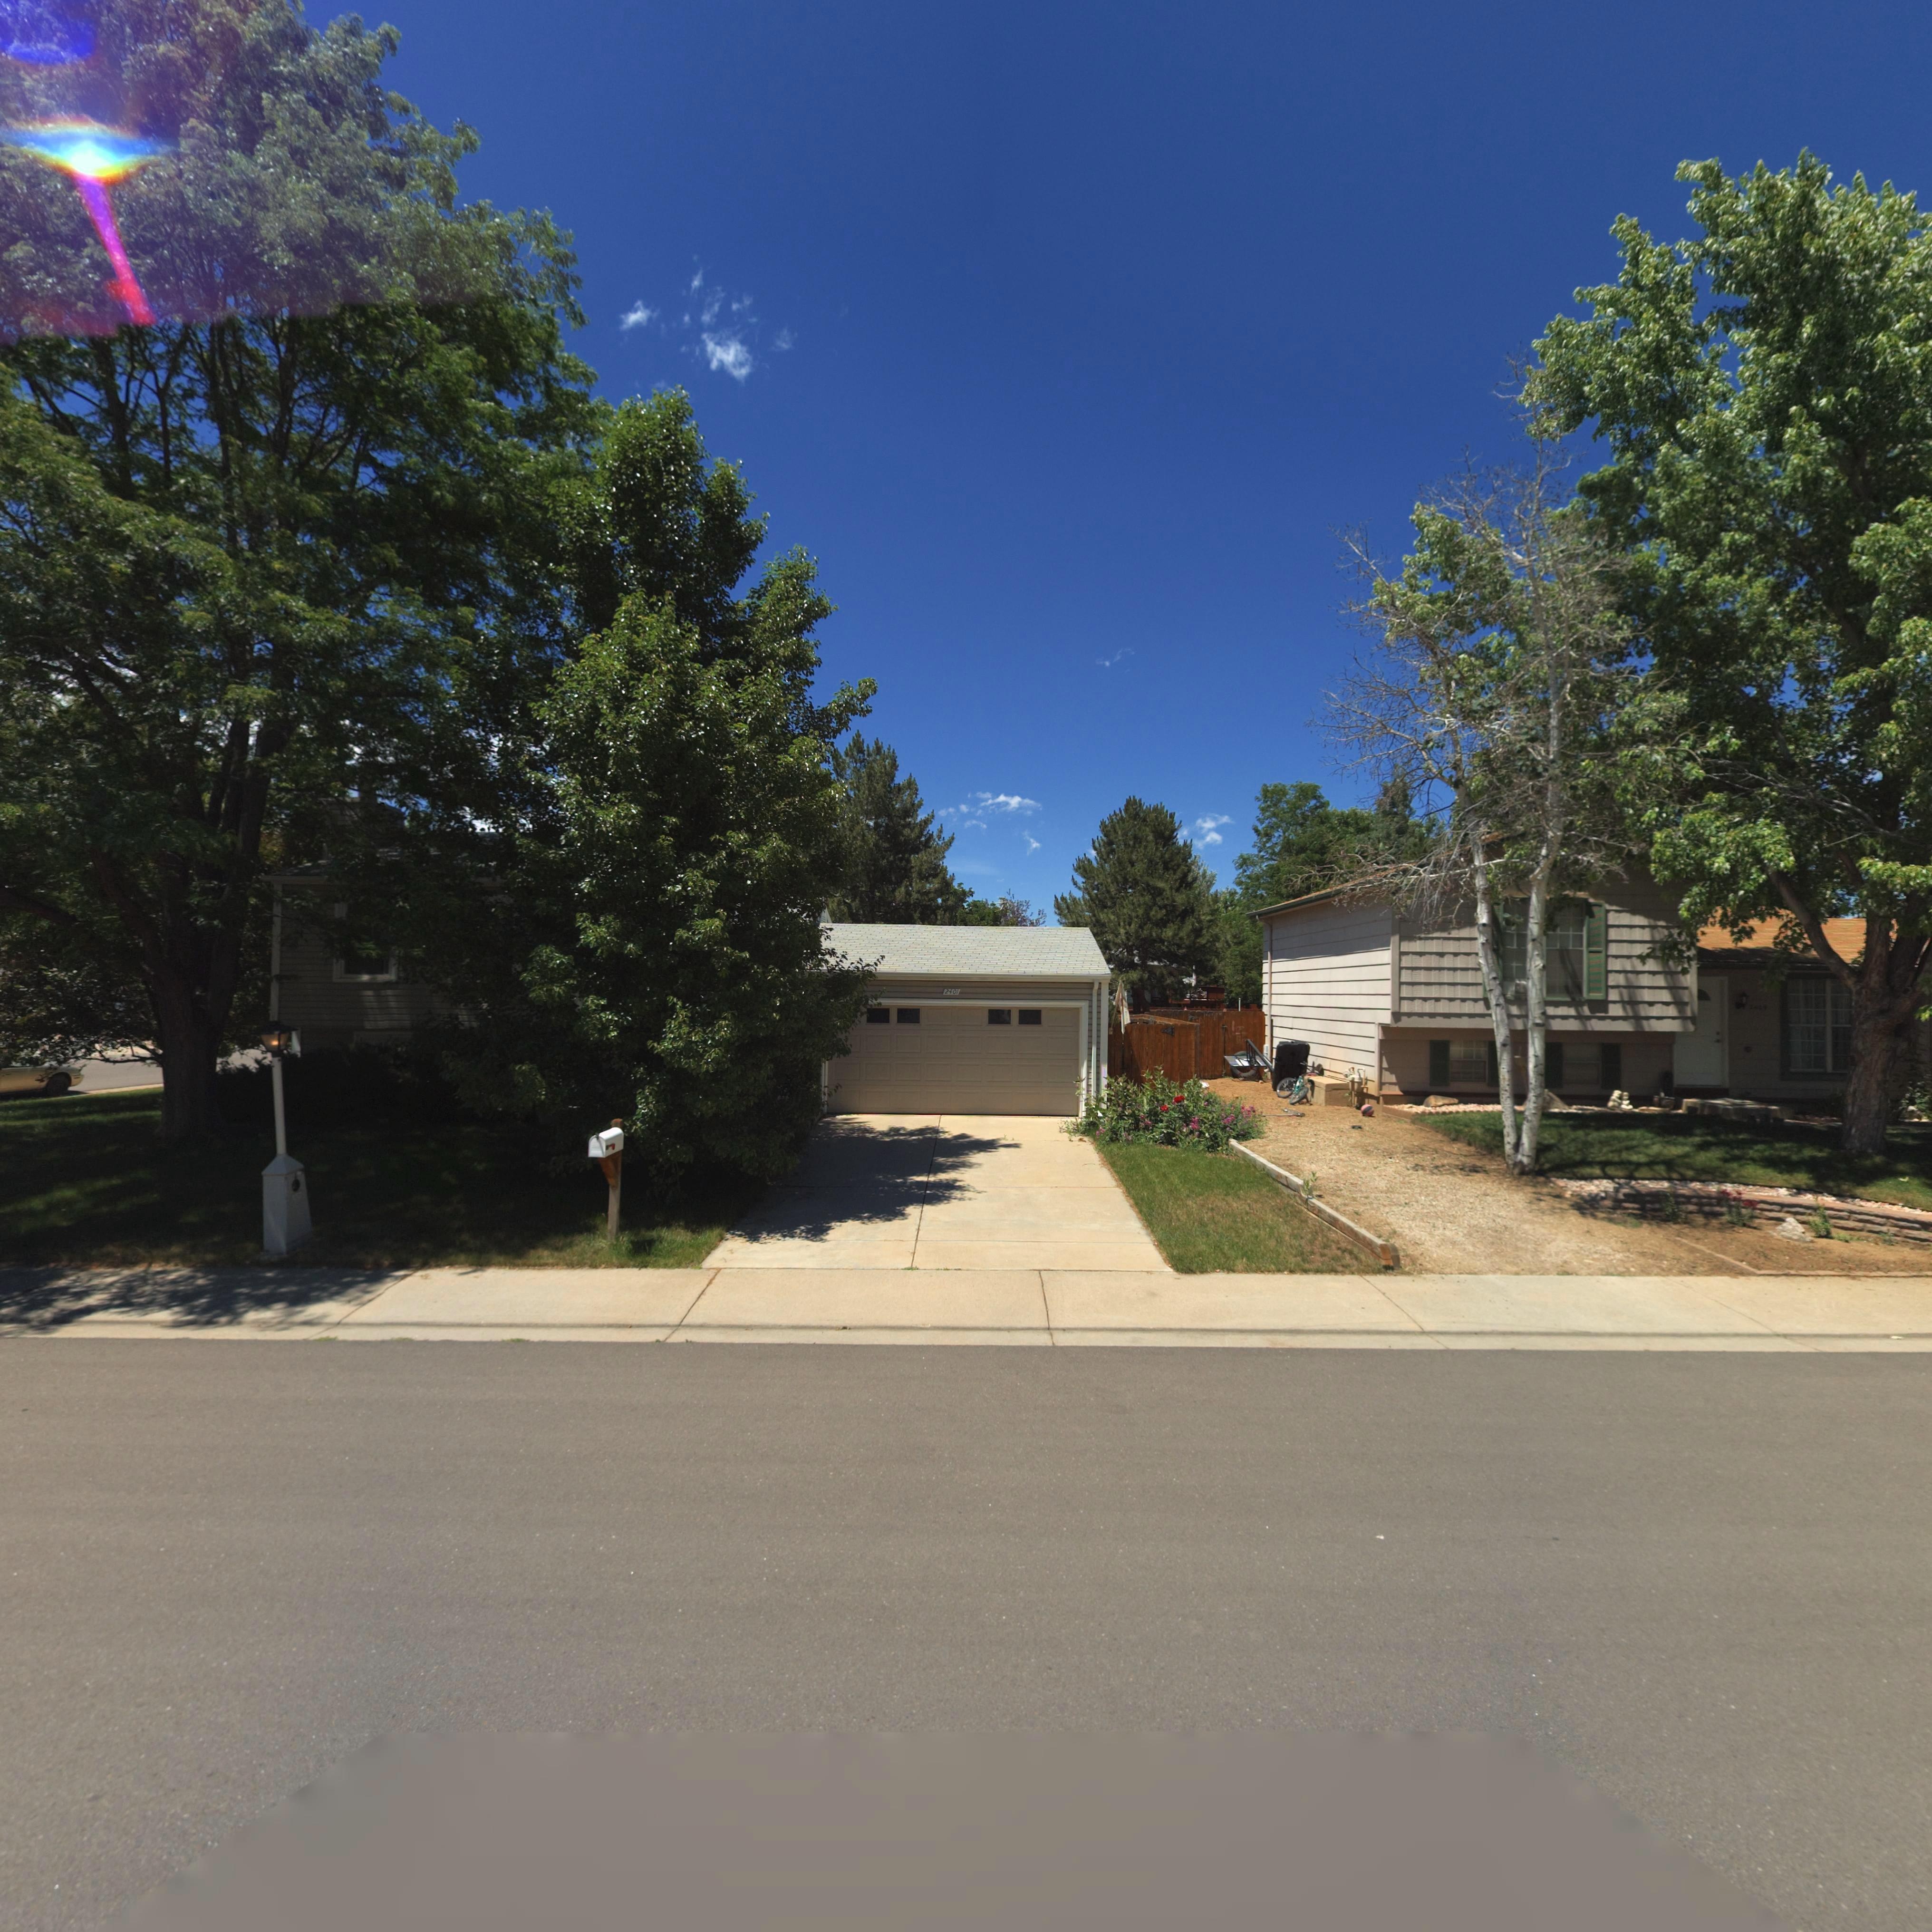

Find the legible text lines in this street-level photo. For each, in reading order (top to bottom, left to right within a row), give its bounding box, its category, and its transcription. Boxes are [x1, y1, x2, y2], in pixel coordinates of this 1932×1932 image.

[944, 988, 959, 995] StreetNumber: 2401
[1748, 1004, 1768, 1011] StreetNumber: 14**